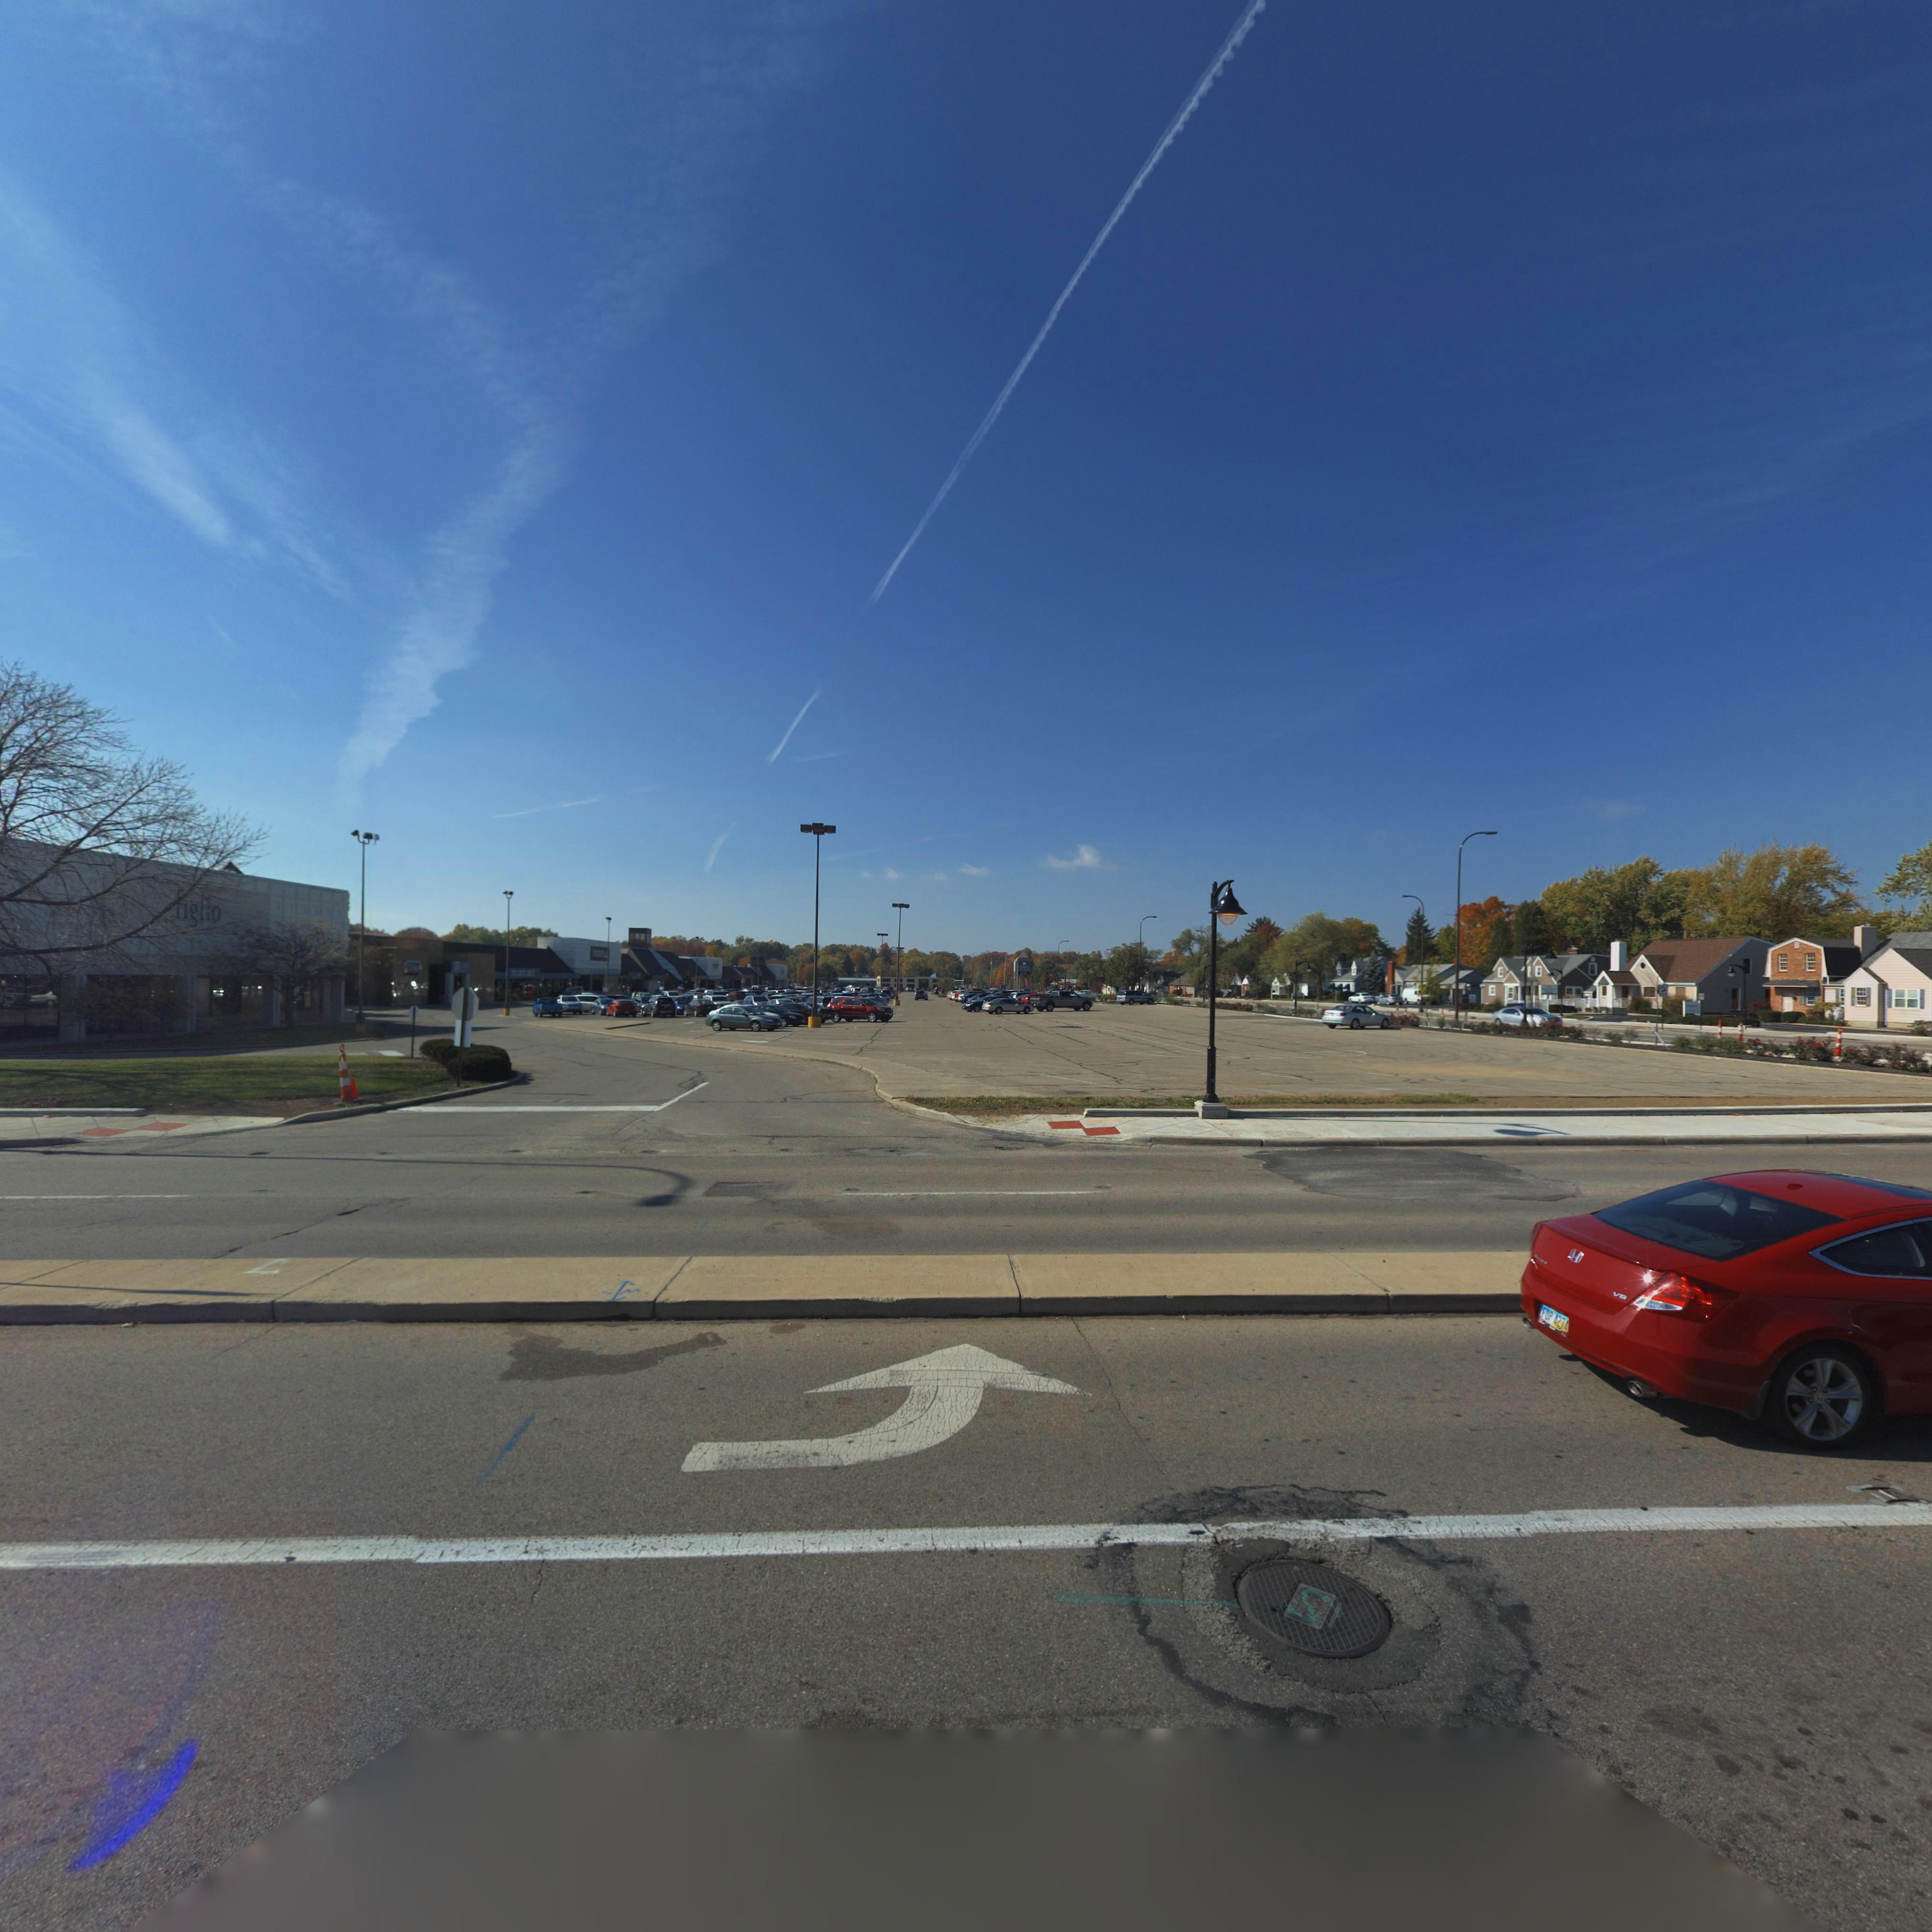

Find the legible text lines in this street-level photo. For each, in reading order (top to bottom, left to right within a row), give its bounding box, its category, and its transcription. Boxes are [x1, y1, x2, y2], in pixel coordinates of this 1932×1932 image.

[174, 889, 222, 927] BusinessName: *iglio
[3, 987, 17, 1004] None: s
[1612, 1291, 1628, 1300] None: V6
[1541, 1306, 1569, 1333] None: FDP*4274